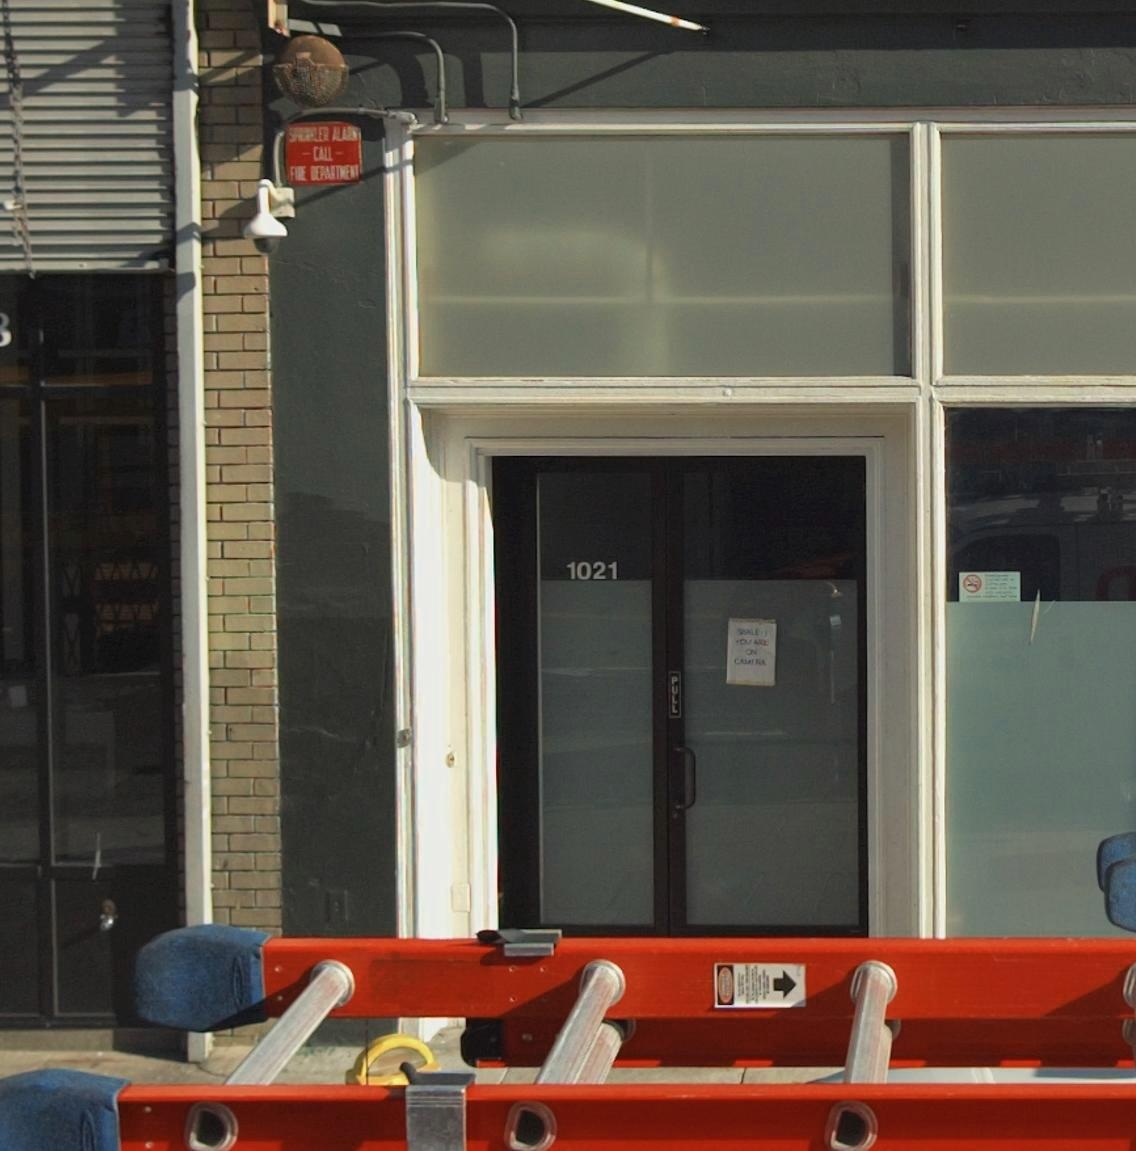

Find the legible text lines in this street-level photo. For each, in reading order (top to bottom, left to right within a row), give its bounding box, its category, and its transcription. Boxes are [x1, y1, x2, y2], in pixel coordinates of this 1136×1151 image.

[312, 145, 334, 162] None: CALL
[288, 164, 360, 182] None: FIRE DEPARTMENT
[565, 560, 619, 581] StreetNumber: 1021
[670, 674, 680, 715] None: PULL